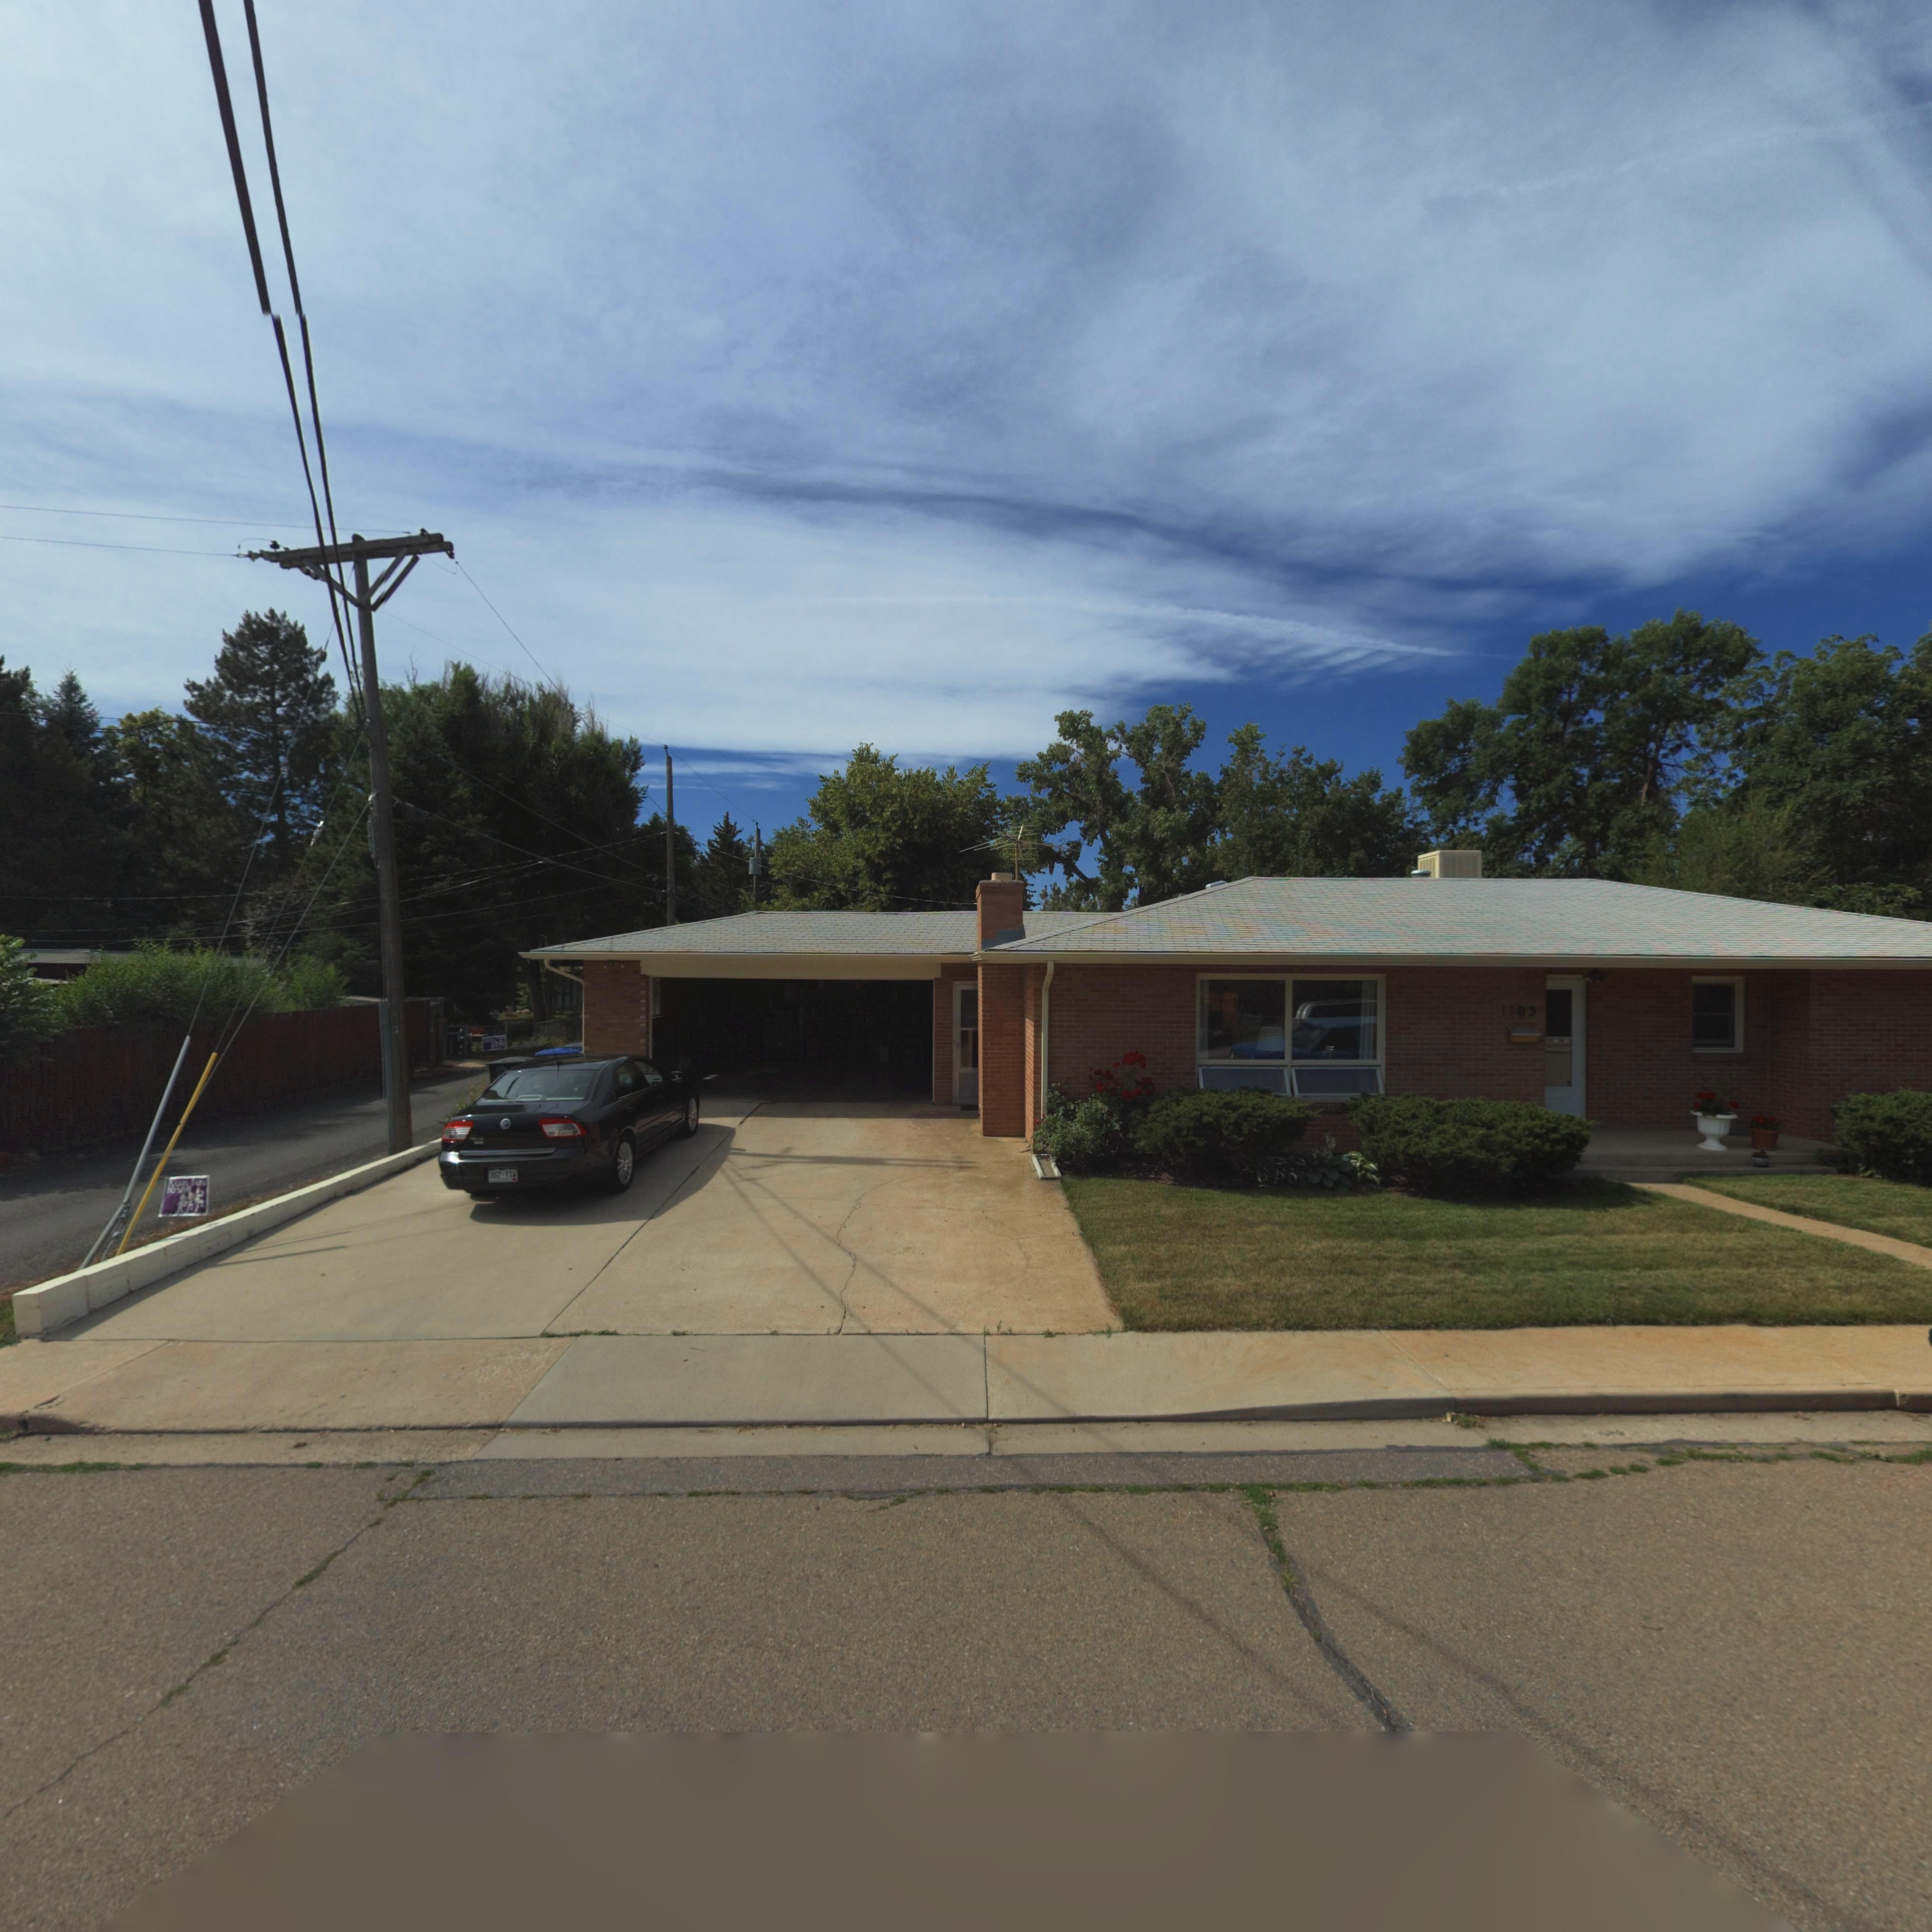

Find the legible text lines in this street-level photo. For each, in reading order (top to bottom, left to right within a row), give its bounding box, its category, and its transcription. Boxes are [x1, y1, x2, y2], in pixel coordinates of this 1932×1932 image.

[1500, 1004, 1536, 1017] StreetNumber: 1303